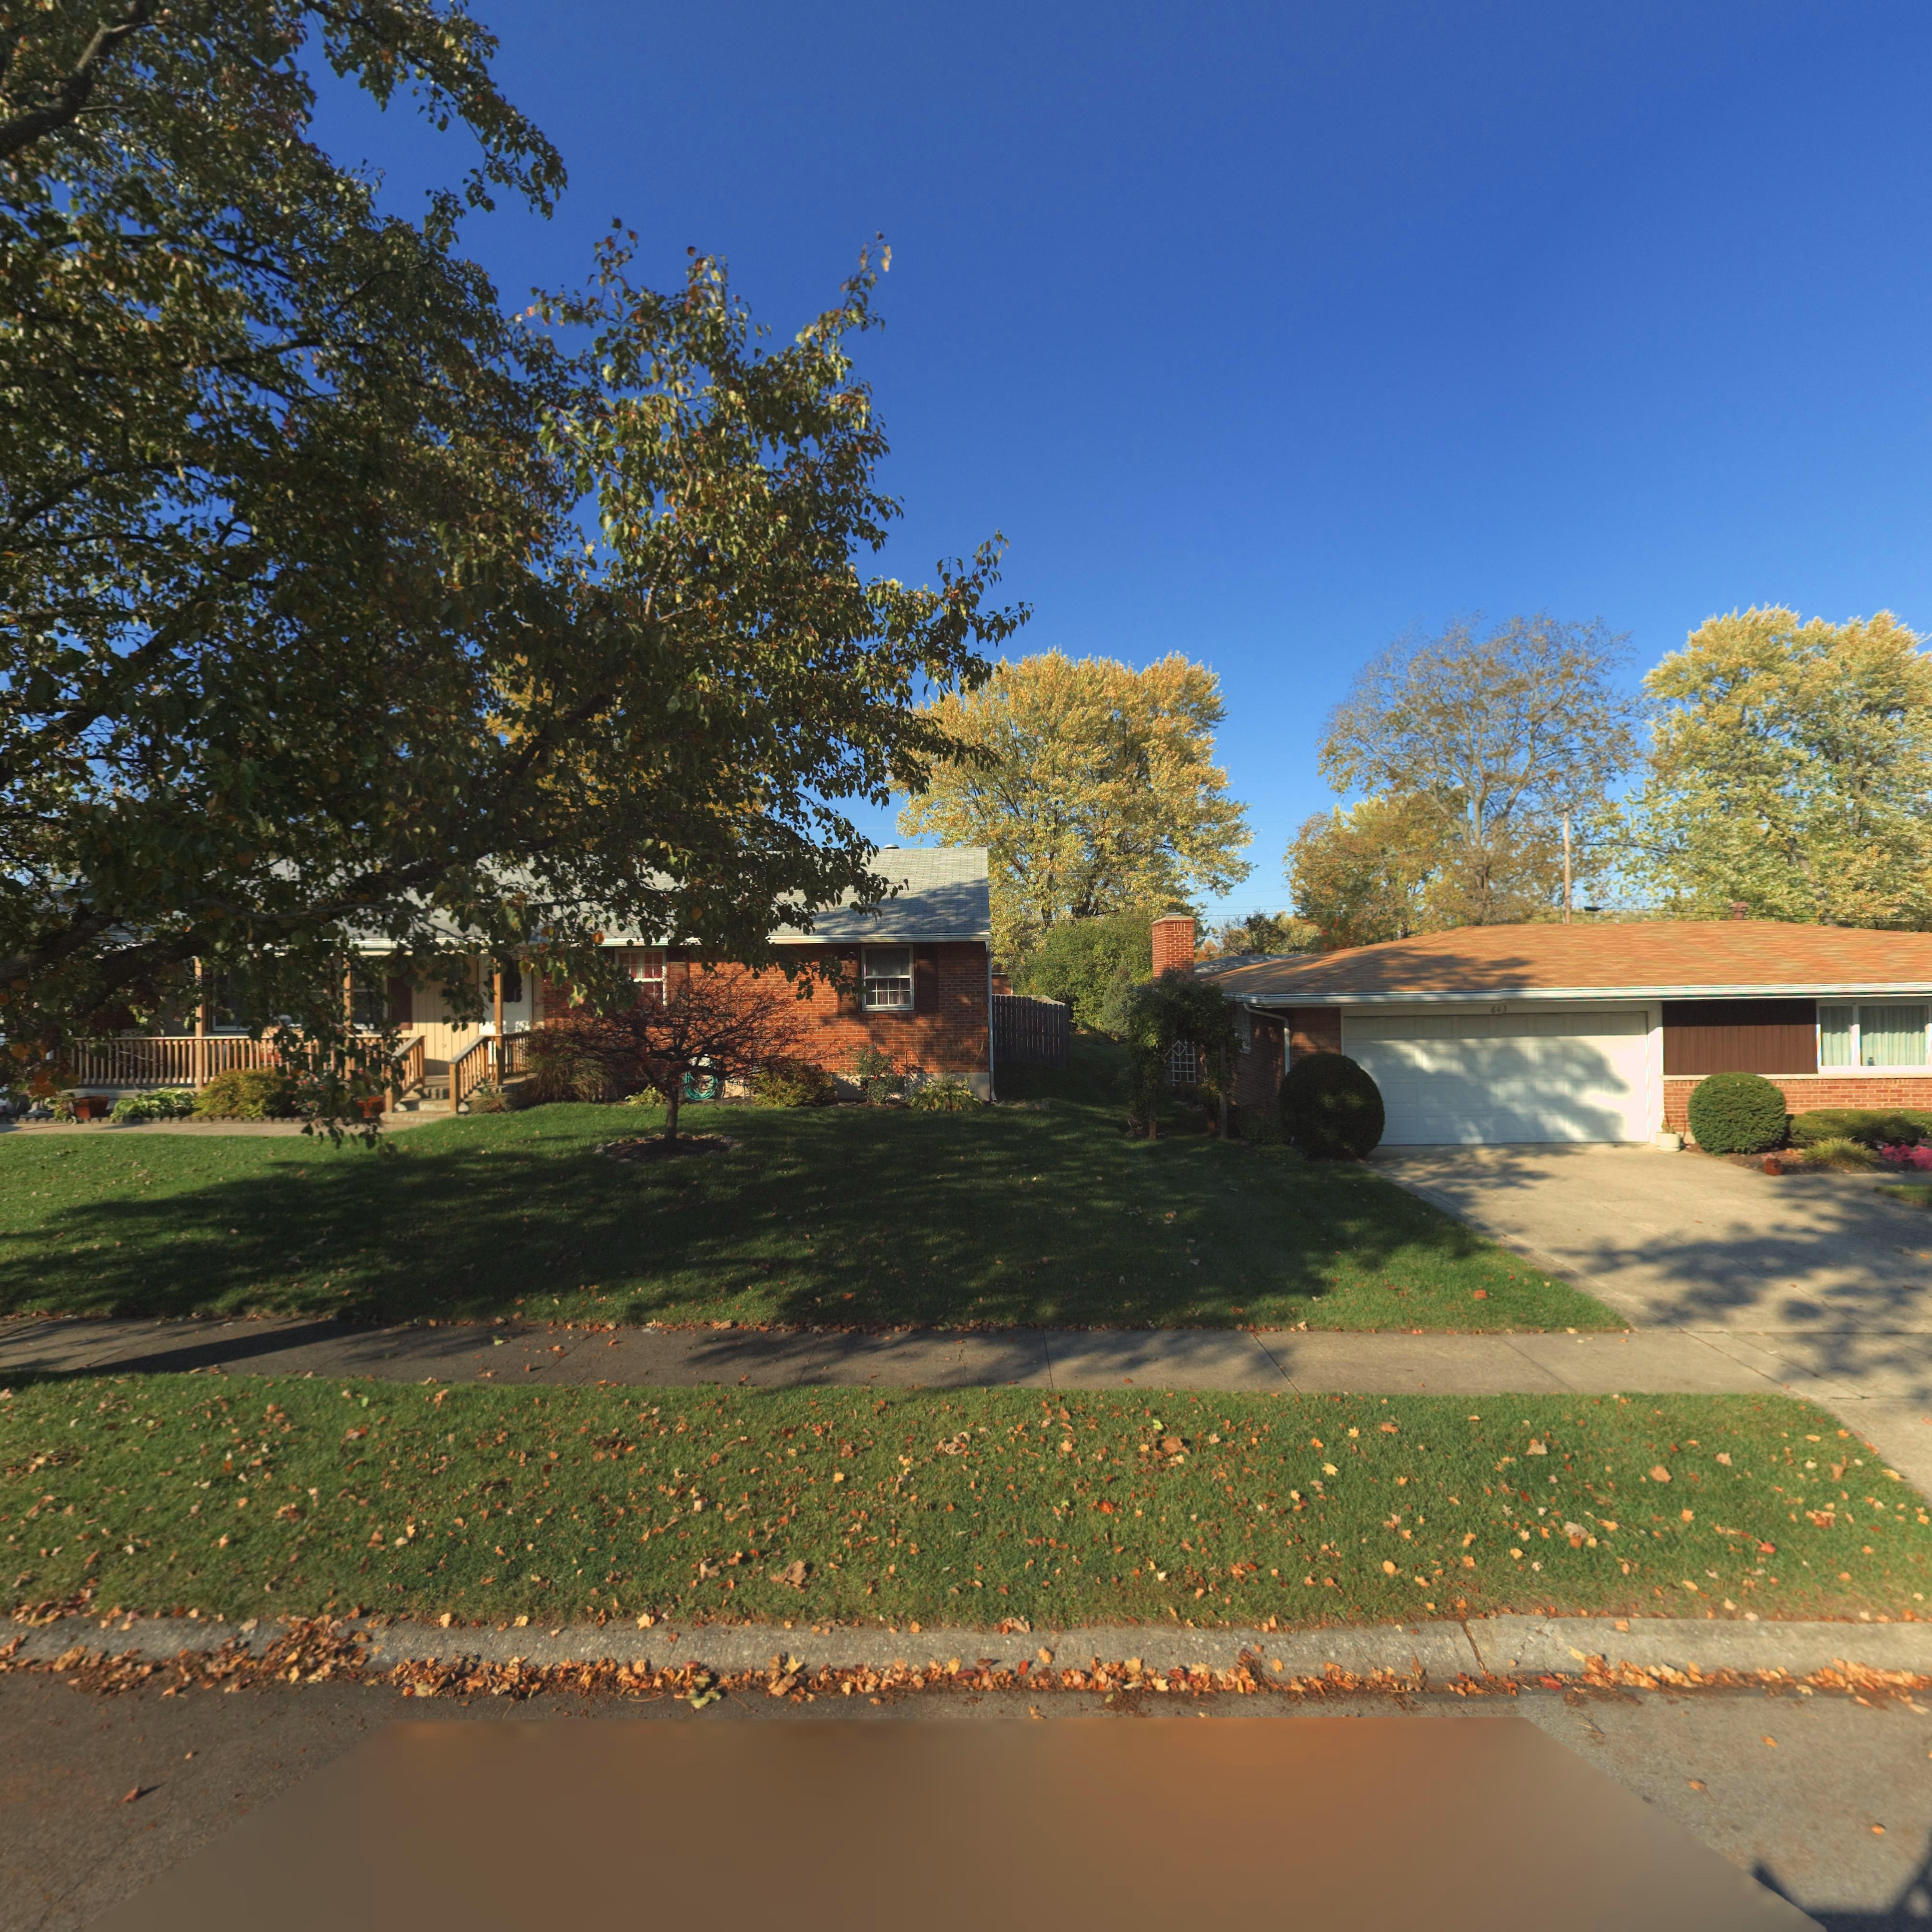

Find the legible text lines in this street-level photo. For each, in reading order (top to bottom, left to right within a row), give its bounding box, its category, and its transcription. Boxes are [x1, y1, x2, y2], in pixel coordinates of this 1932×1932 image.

[1490, 1005, 1507, 1014] StreetNumber: 643